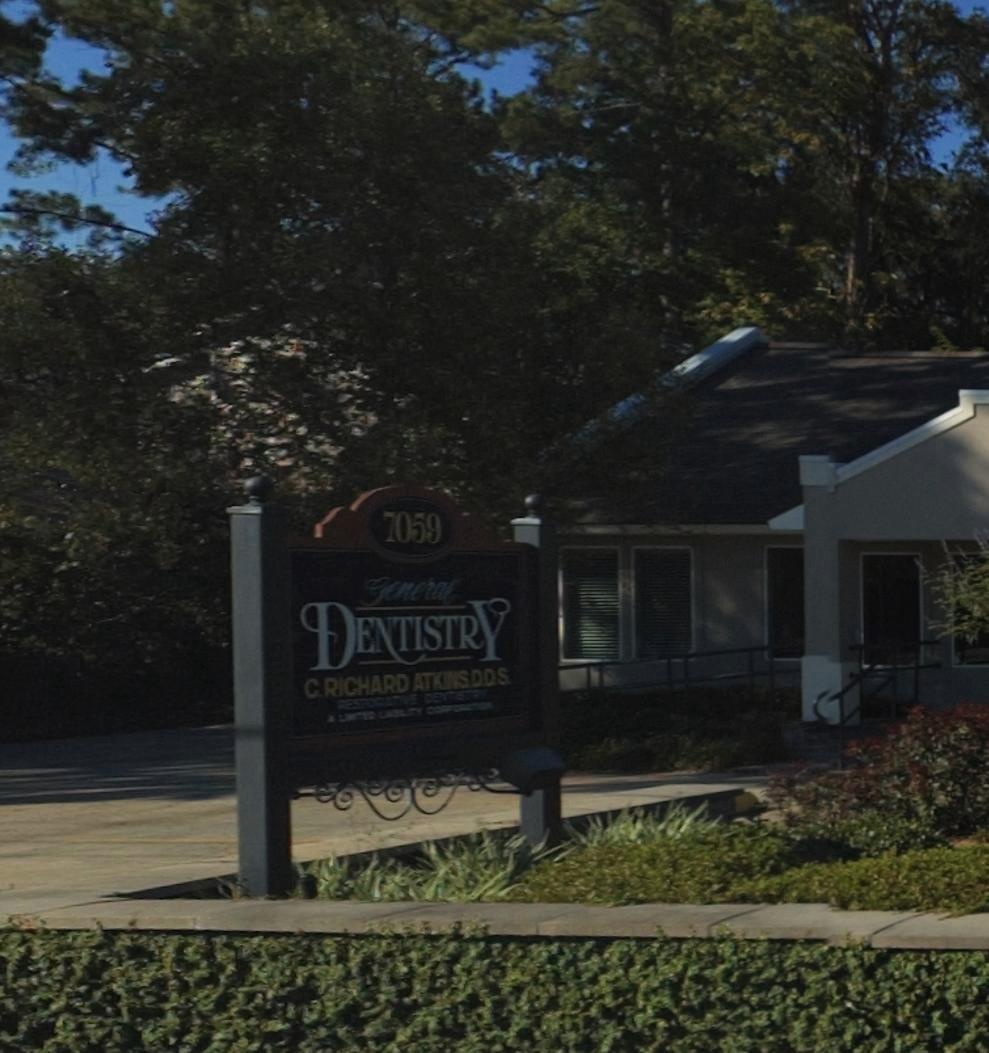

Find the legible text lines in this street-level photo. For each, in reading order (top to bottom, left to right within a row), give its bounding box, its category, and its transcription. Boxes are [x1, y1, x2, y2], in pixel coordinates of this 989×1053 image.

[380, 509, 445, 546] StreetNumber: 7059
[357, 573, 461, 609] BusinessName: General
[298, 598, 509, 672] BusinessName: DENTISTRY
[302, 665, 511, 701] None: C RICHARD ATKINS DDS
[326, 699, 494, 724] None: A LIMITED LIABLITY CORPORATION
[335, 687, 490, 713] None: RESTORATIVE DENTISTRY